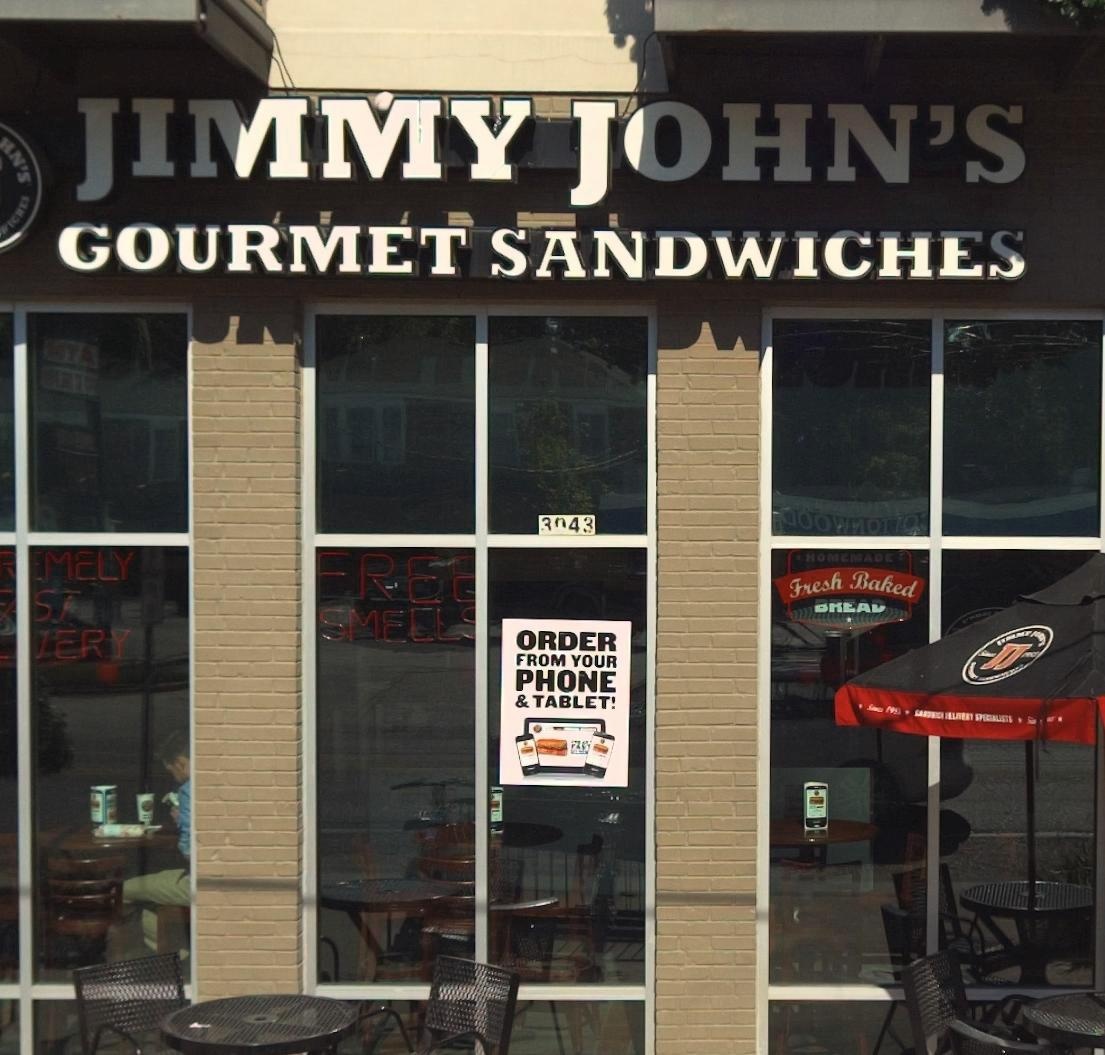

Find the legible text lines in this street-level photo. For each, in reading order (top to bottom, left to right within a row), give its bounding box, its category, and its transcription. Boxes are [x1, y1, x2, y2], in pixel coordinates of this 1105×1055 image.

[3, 145, 35, 188] None: N'S
[69, 88, 1036, 216] BusinessName: JIMMY JOHN'S
[47, 212, 1033, 287] None: GOURMET SANDWICHES
[539, 515, 596, 535] StreetNumber: 3043
[776, 502, 921, 537] None: *OOW**TTO
[43, 548, 139, 585] None: MELY
[315, 549, 478, 606] None: FREE
[803, 549, 895, 565] None: HOMEMADE
[787, 567, 922, 601] None: Fresh Baked
[27, 584, 89, 627] None: ST
[811, 596, 890, 615] None: BREAD
[51, 624, 135, 663] None: ERY
[317, 606, 462, 645] None: SMELL
[513, 627, 620, 654] None: ORDER
[514, 650, 620, 670] None: FROM YOUR
[971, 640, 1044, 673] None: JJ
[513, 666, 620, 696] None: PHONE
[529, 691, 618, 712] None: TABLET!